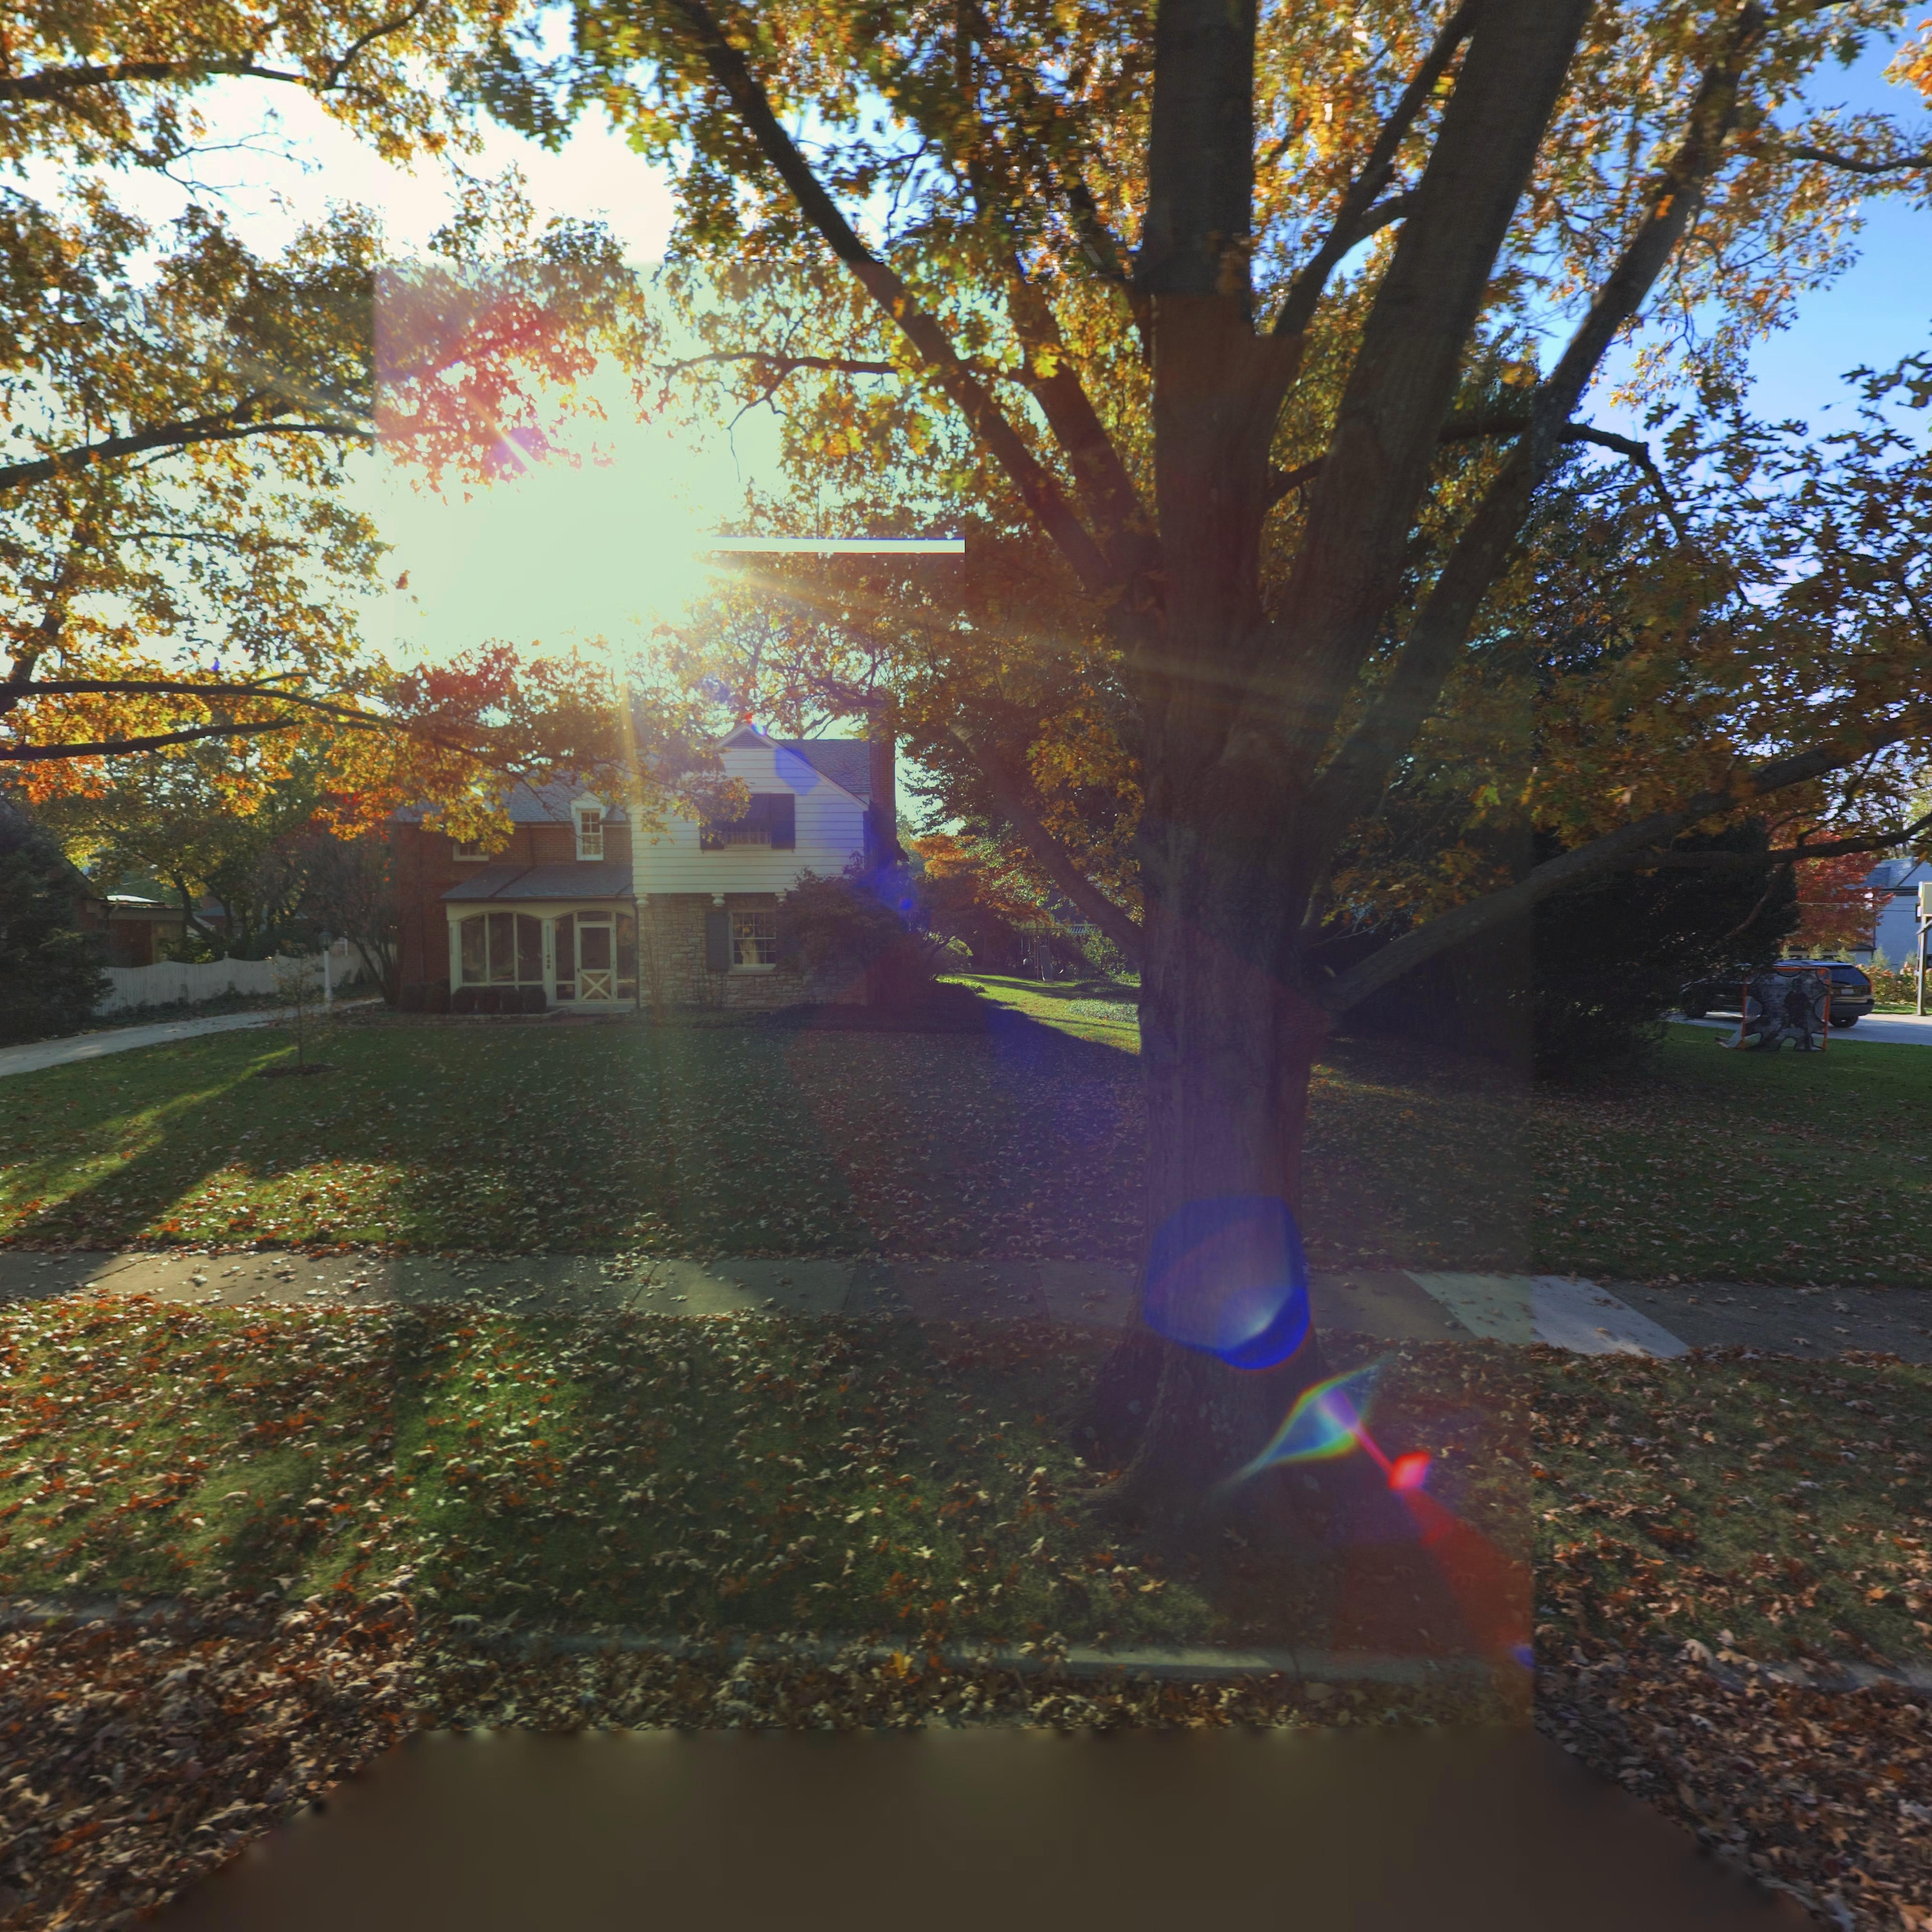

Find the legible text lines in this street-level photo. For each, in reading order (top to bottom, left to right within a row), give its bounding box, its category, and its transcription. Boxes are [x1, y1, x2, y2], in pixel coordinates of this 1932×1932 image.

[545, 953, 552, 970] StreetNumber: 40*